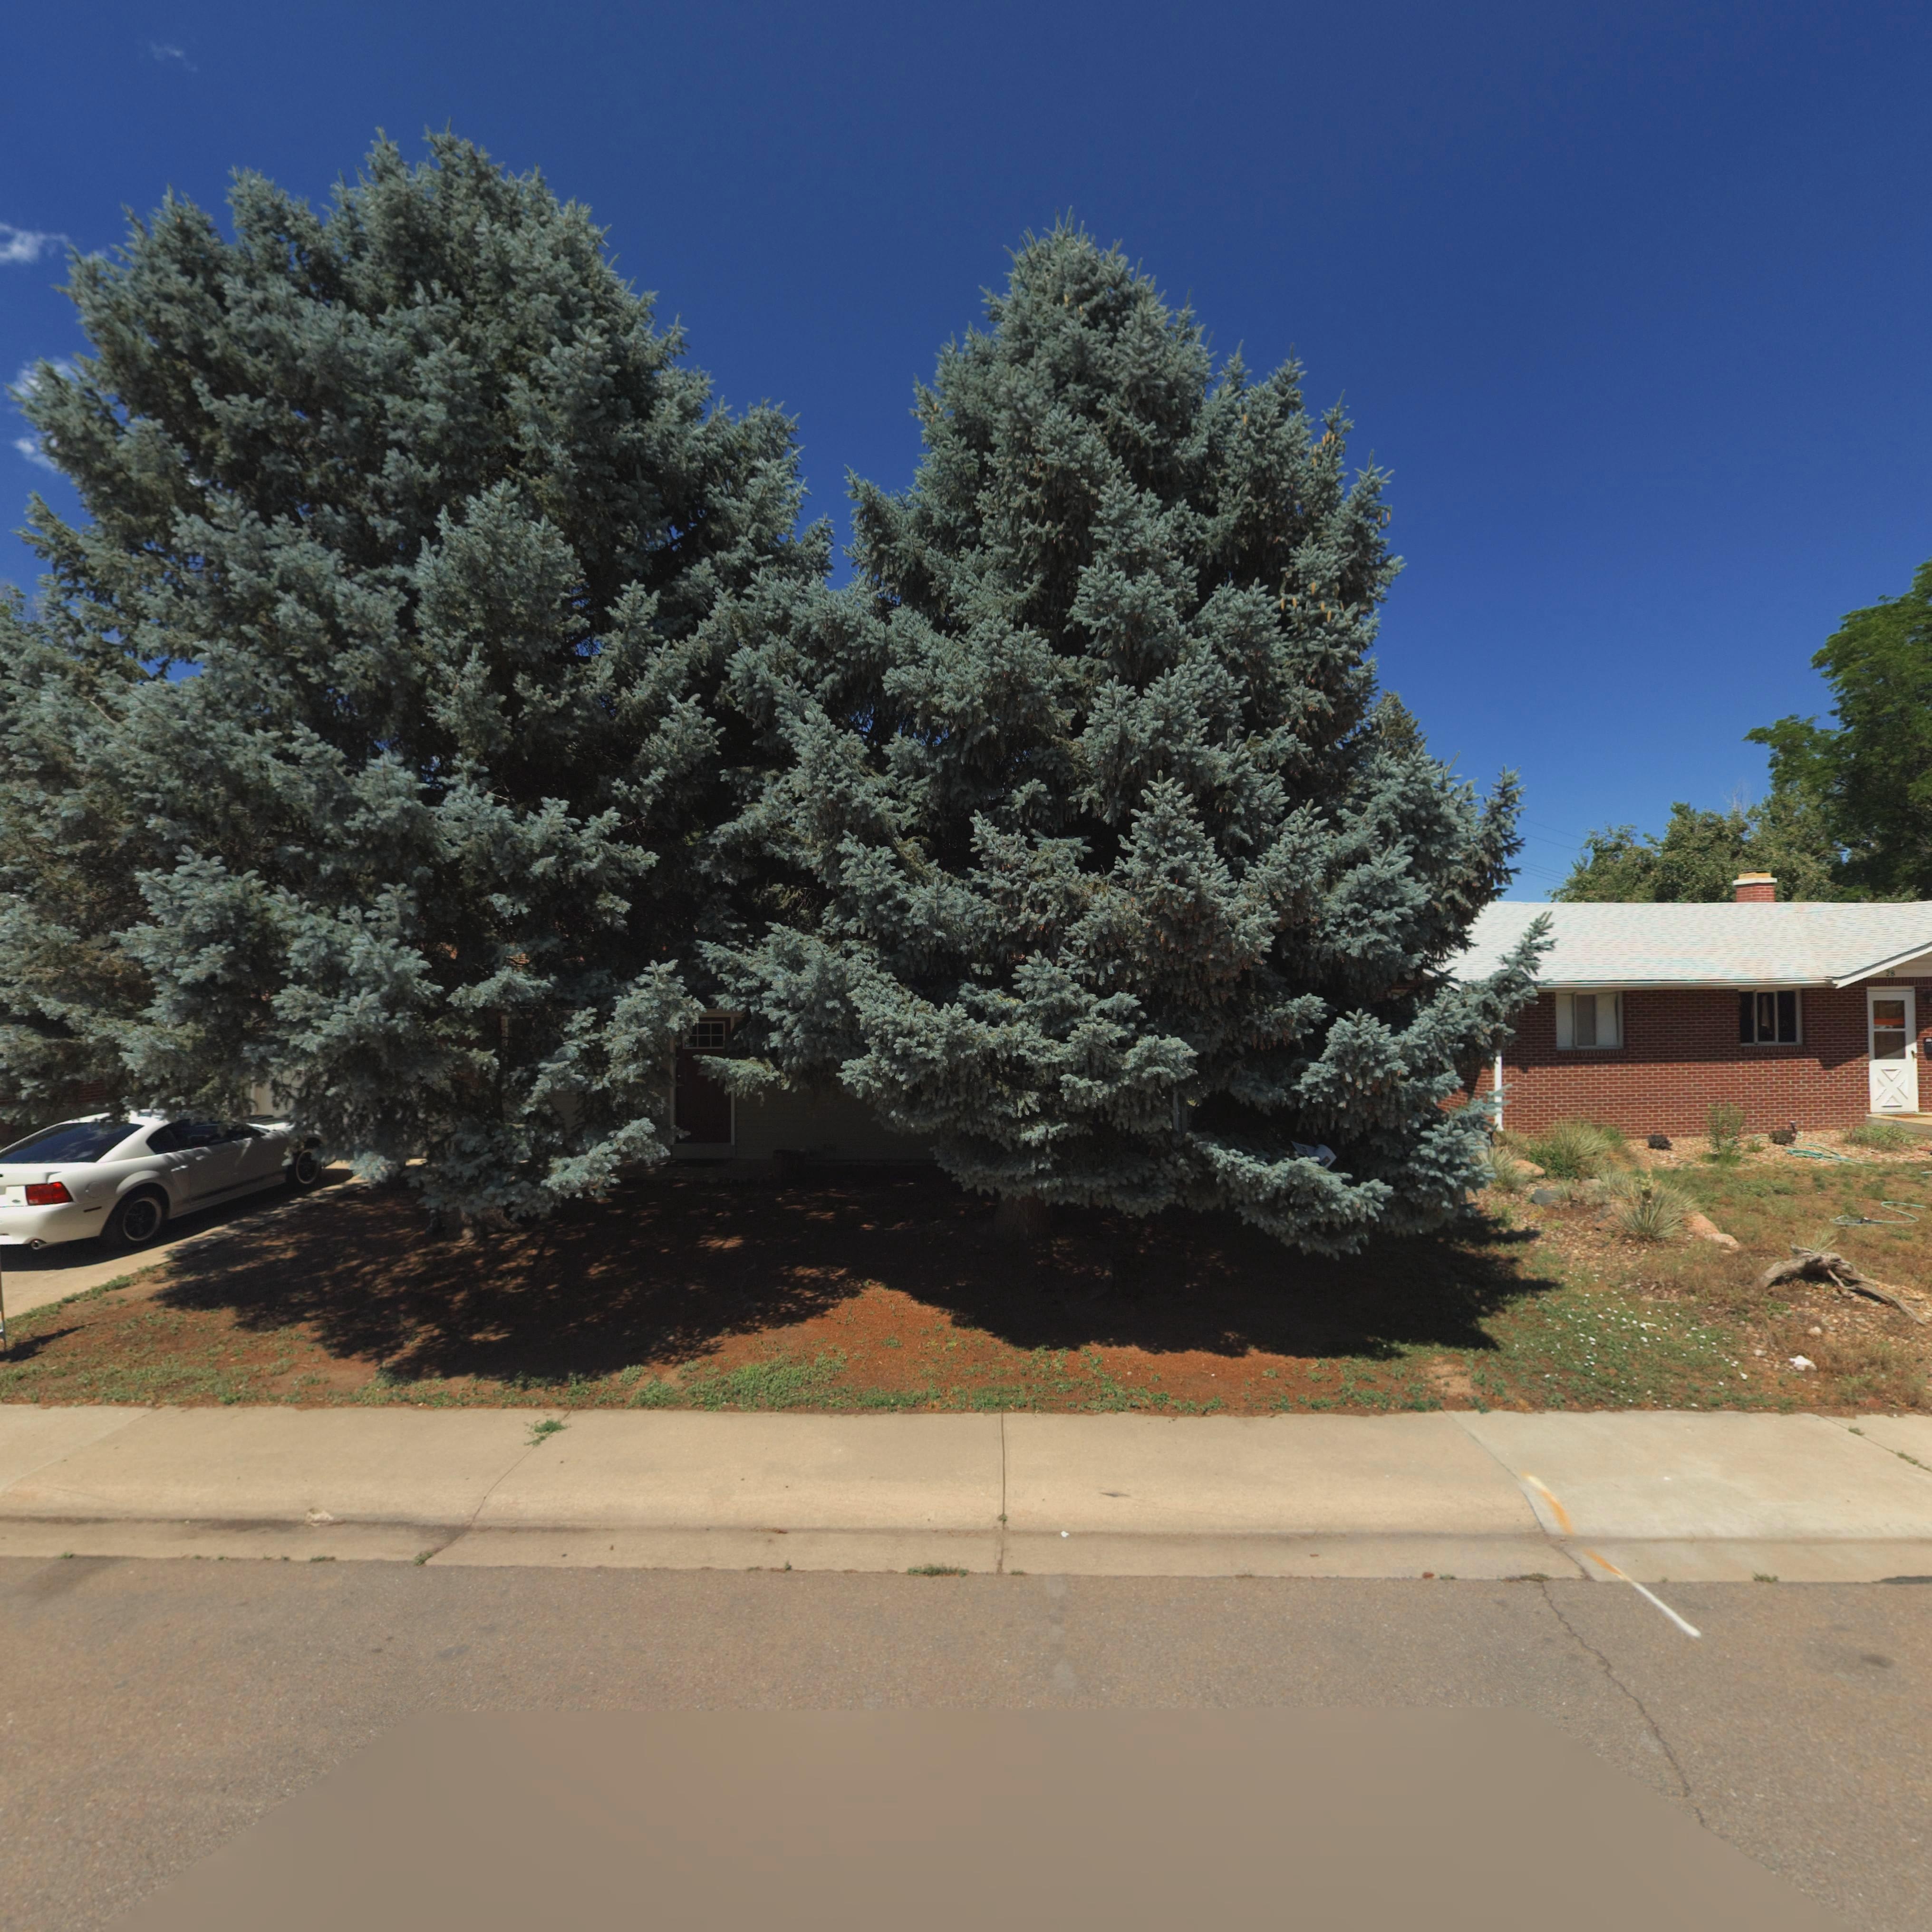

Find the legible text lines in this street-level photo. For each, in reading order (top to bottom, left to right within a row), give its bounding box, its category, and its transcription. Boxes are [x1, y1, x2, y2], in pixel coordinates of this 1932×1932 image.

[1885, 969, 1895, 976] StreetNumber: 28